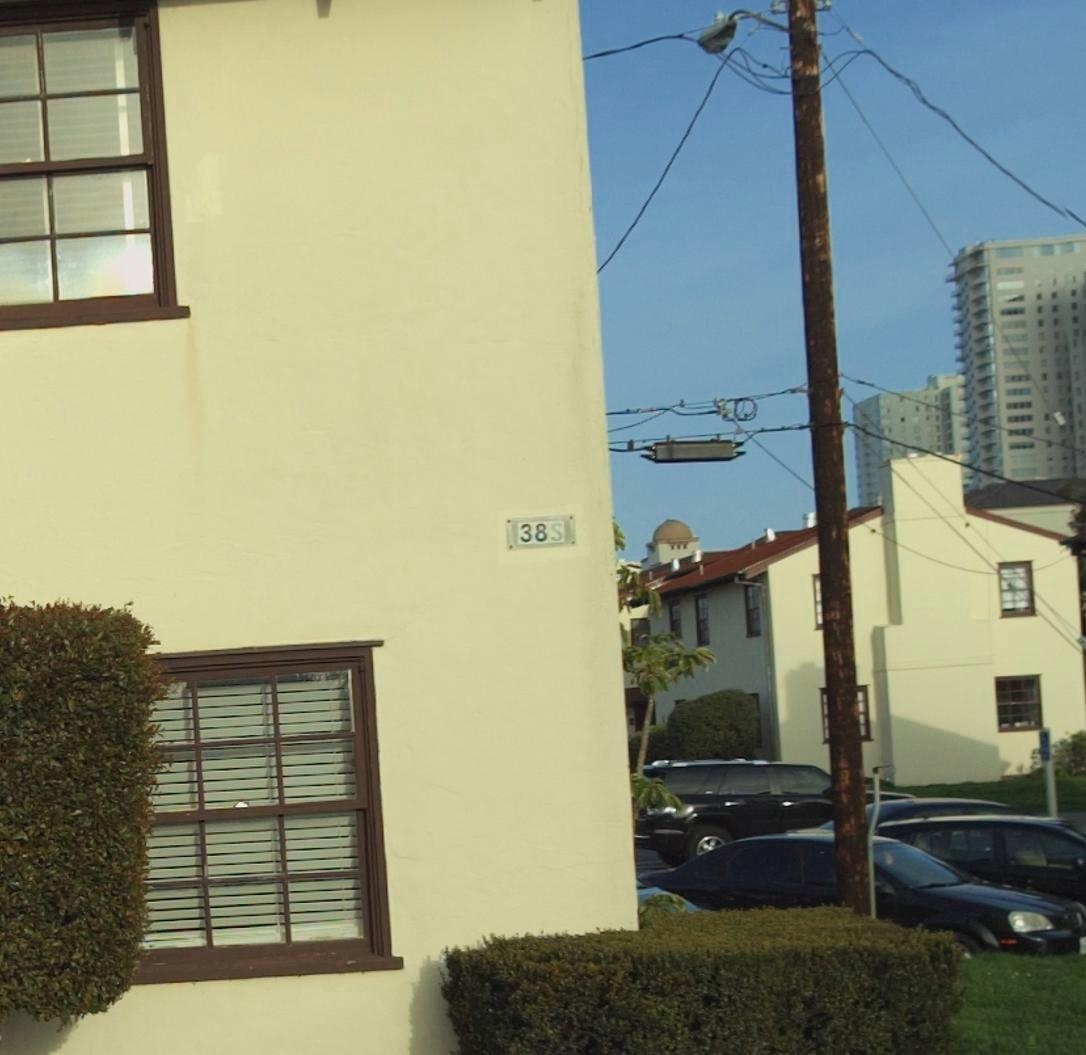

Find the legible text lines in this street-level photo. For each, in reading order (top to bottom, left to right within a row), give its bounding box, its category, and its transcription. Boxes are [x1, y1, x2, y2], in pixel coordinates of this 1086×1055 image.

[516, 520, 566, 546] StreetNumber: 38S